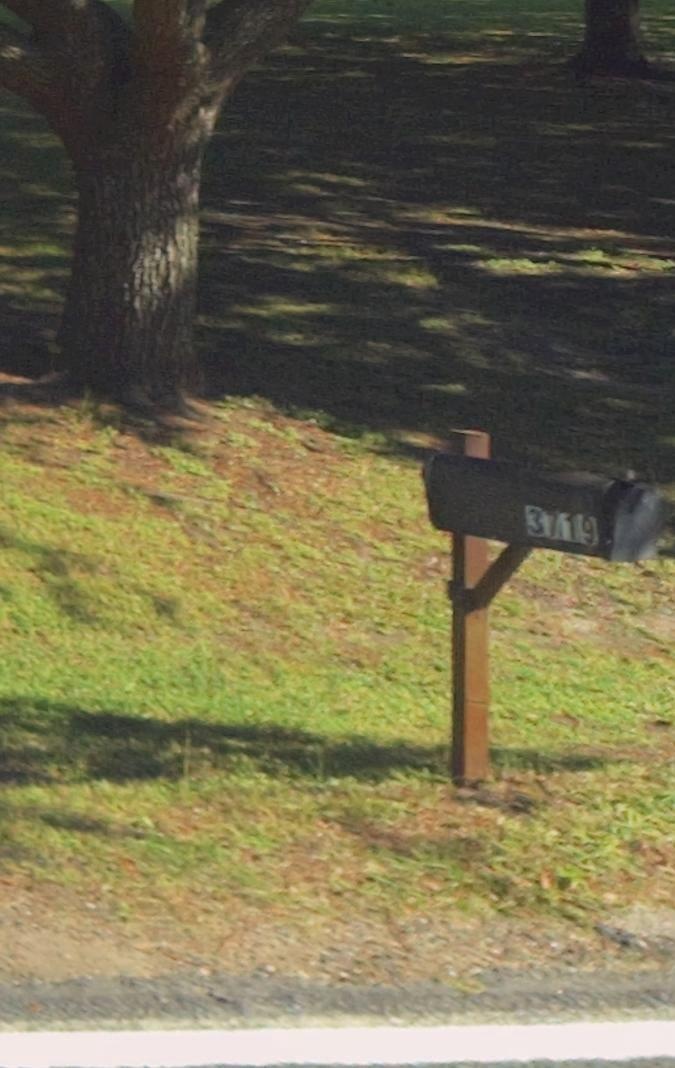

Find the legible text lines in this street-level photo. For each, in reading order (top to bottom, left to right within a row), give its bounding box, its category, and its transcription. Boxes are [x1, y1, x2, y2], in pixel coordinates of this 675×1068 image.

[525, 505, 597, 546] StreetNumber: 3719